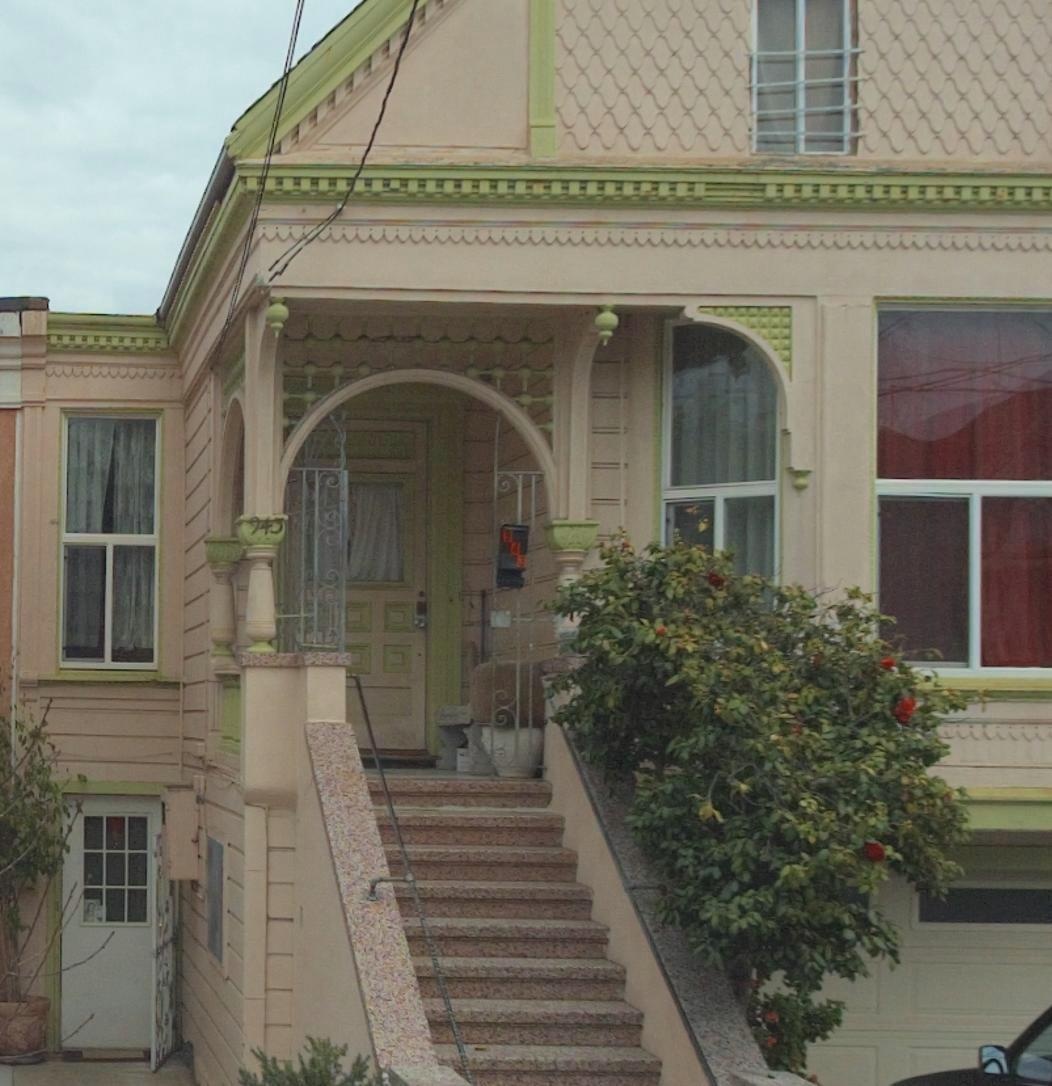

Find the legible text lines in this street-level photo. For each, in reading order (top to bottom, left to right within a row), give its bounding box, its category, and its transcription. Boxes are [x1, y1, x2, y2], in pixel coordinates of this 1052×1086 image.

[503, 530, 527, 568] StreetNumber: 943